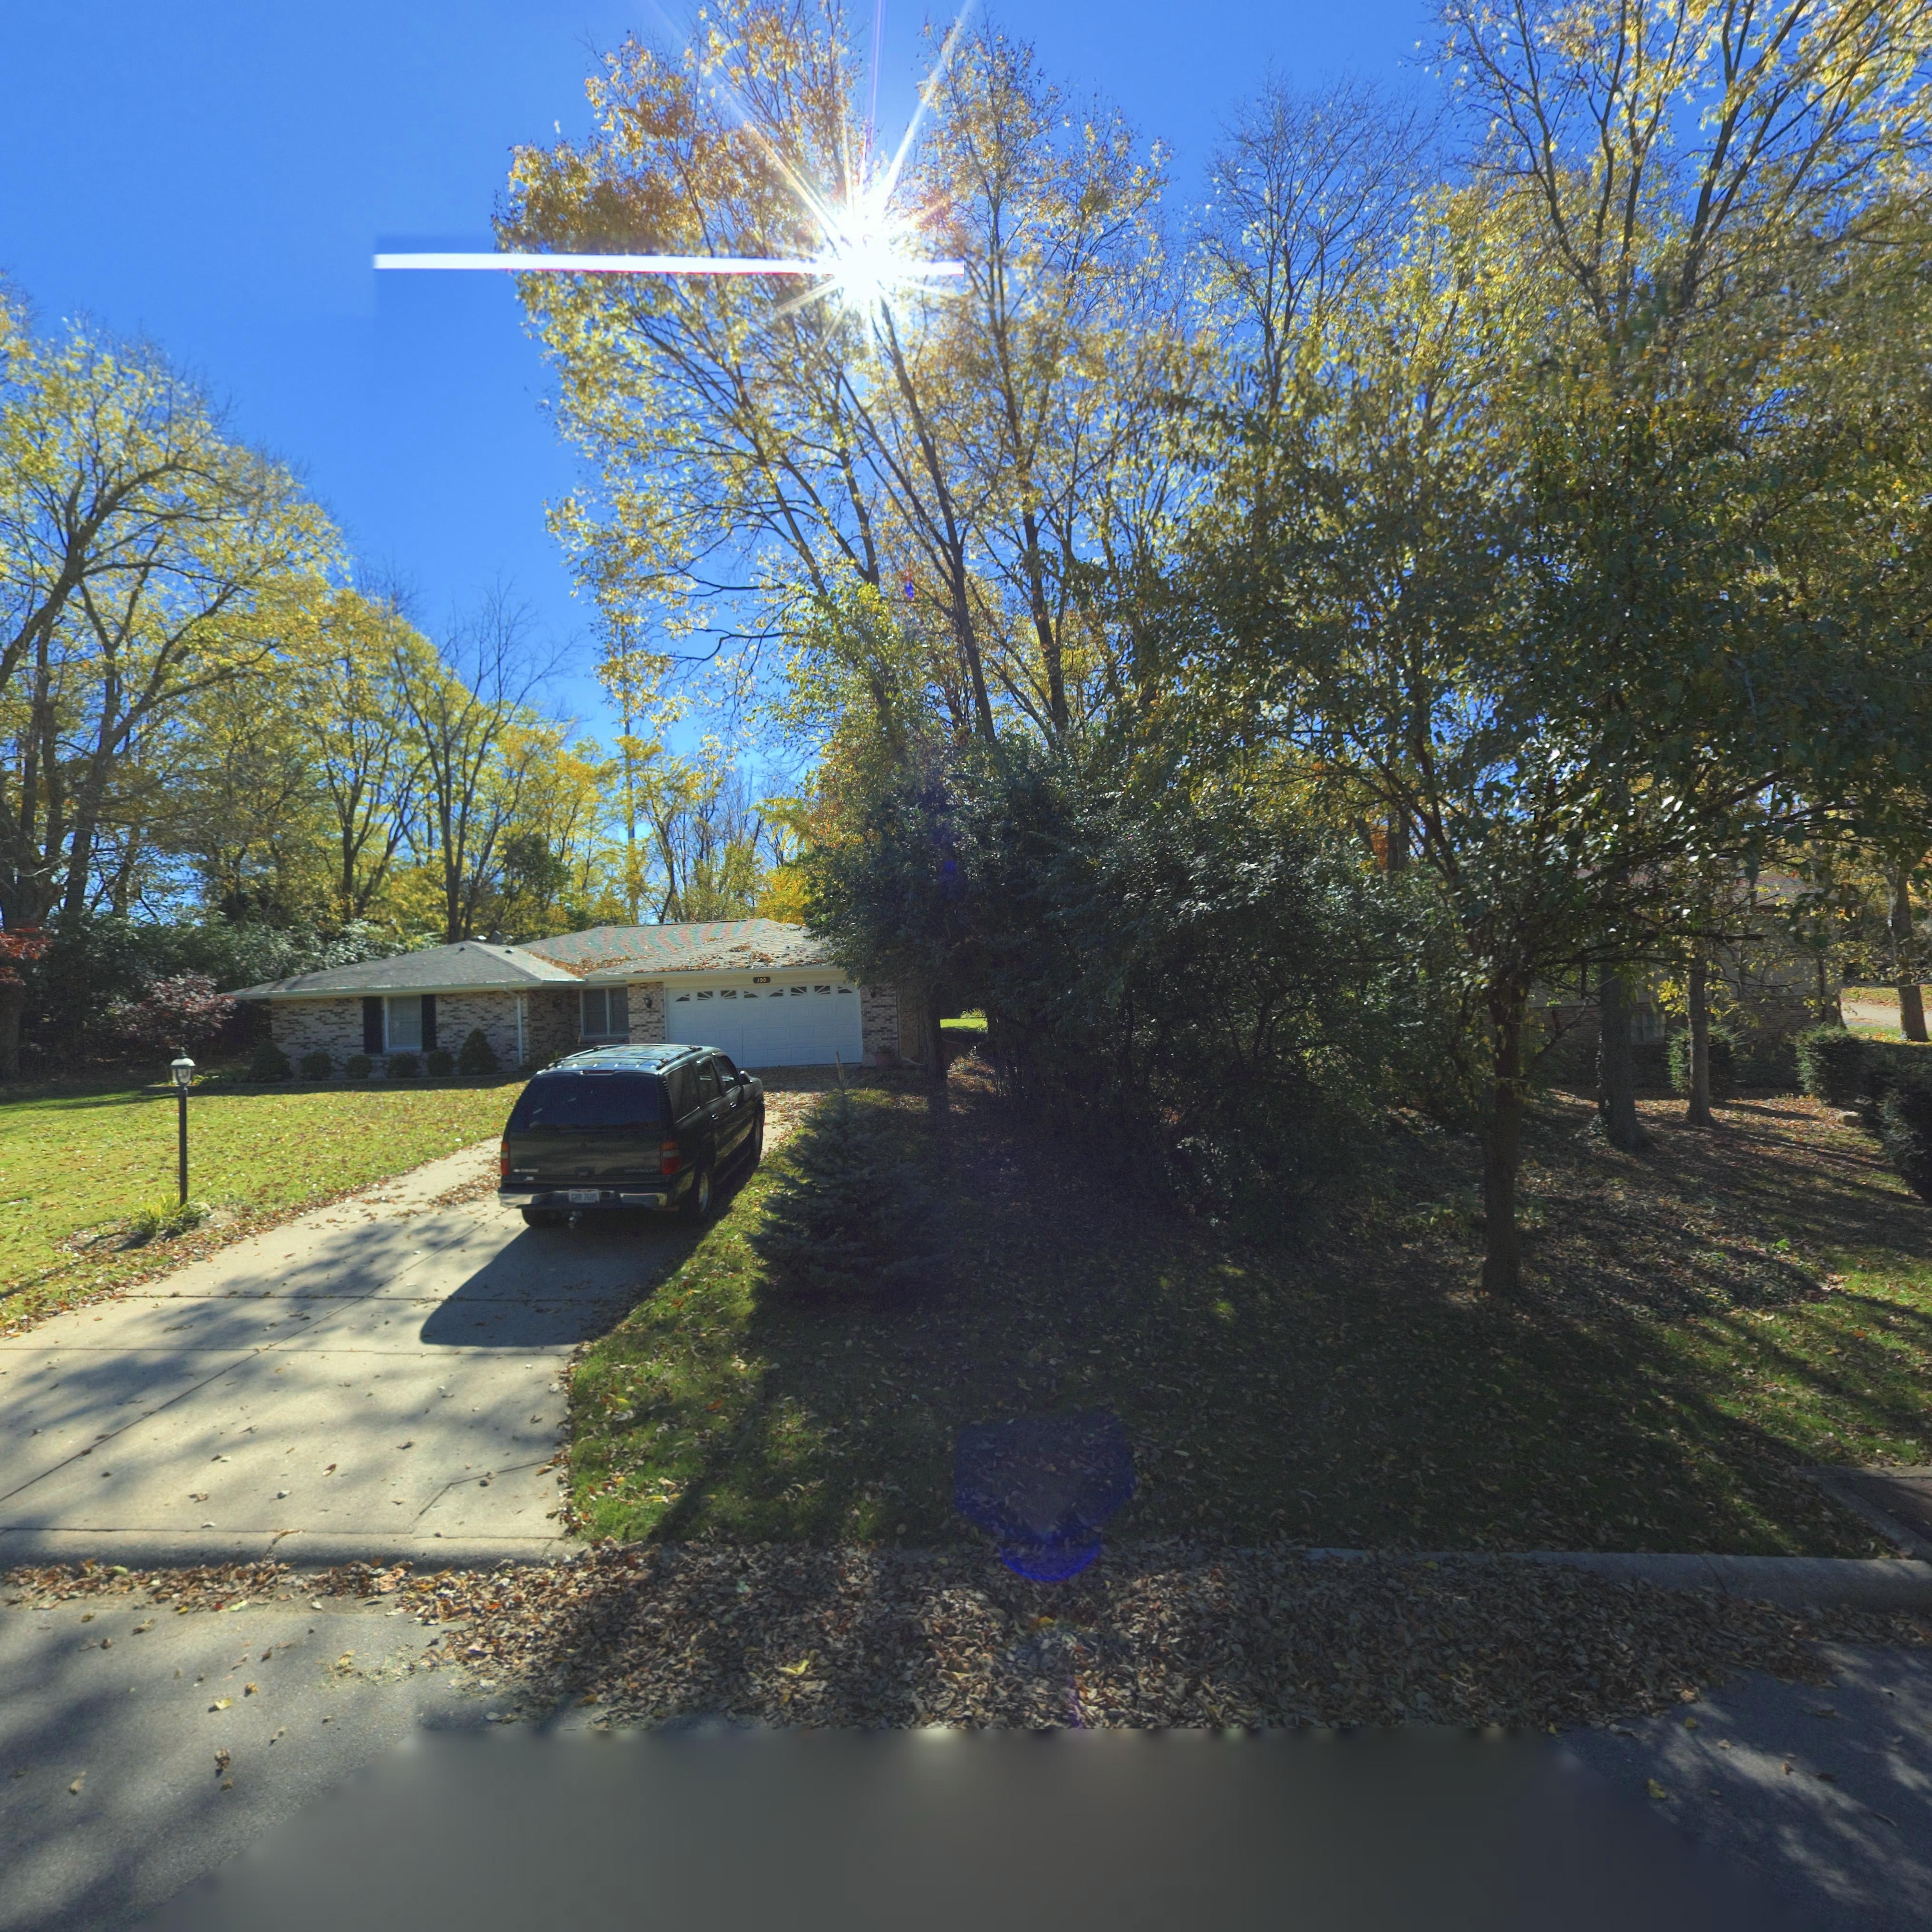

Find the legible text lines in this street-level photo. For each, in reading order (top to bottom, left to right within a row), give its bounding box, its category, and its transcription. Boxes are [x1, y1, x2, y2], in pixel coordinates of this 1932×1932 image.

[756, 977, 767, 983] StreetNumber: 100